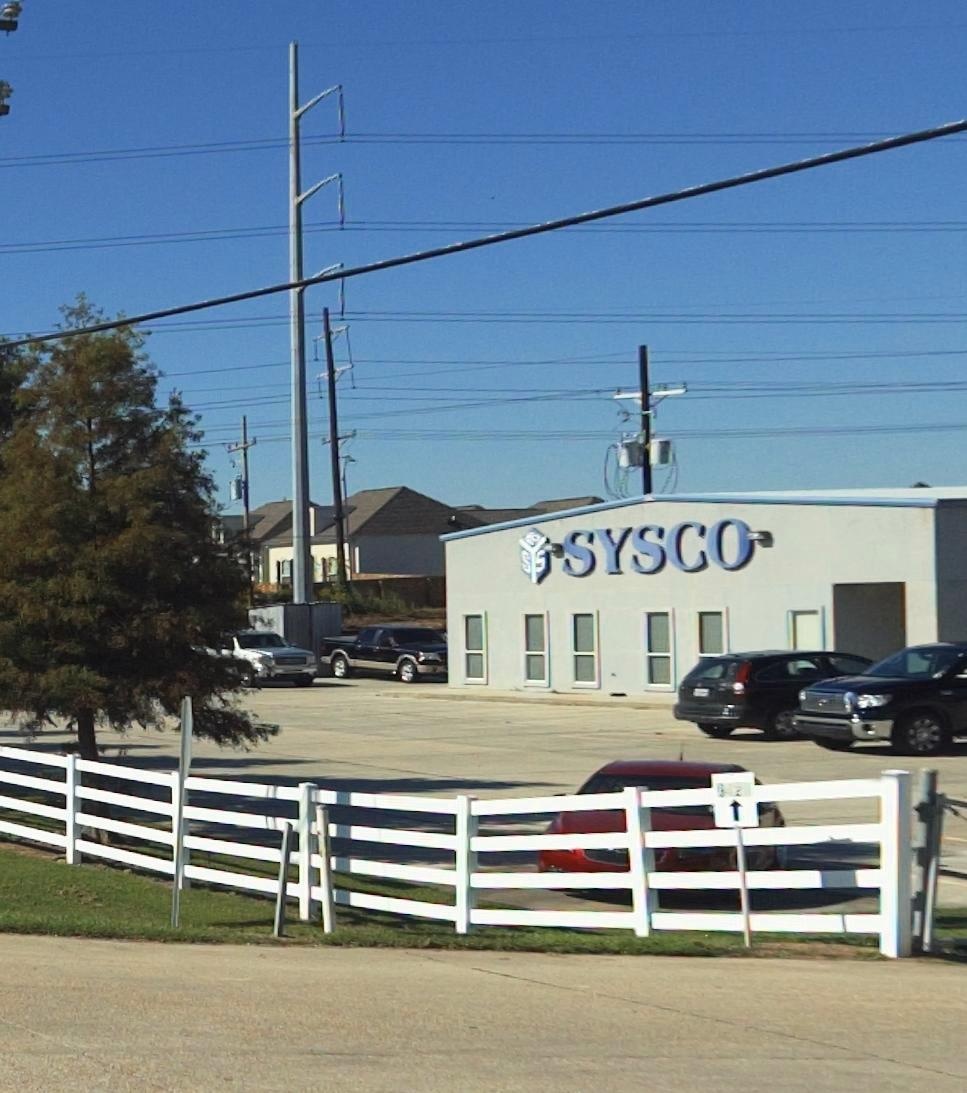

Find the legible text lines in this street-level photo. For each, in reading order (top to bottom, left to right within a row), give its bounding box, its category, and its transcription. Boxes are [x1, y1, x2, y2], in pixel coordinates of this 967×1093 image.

[520, 545, 532, 577] None: S
[534, 547, 547, 576] None: S
[562, 517, 756, 579] BusinessName: Sysco